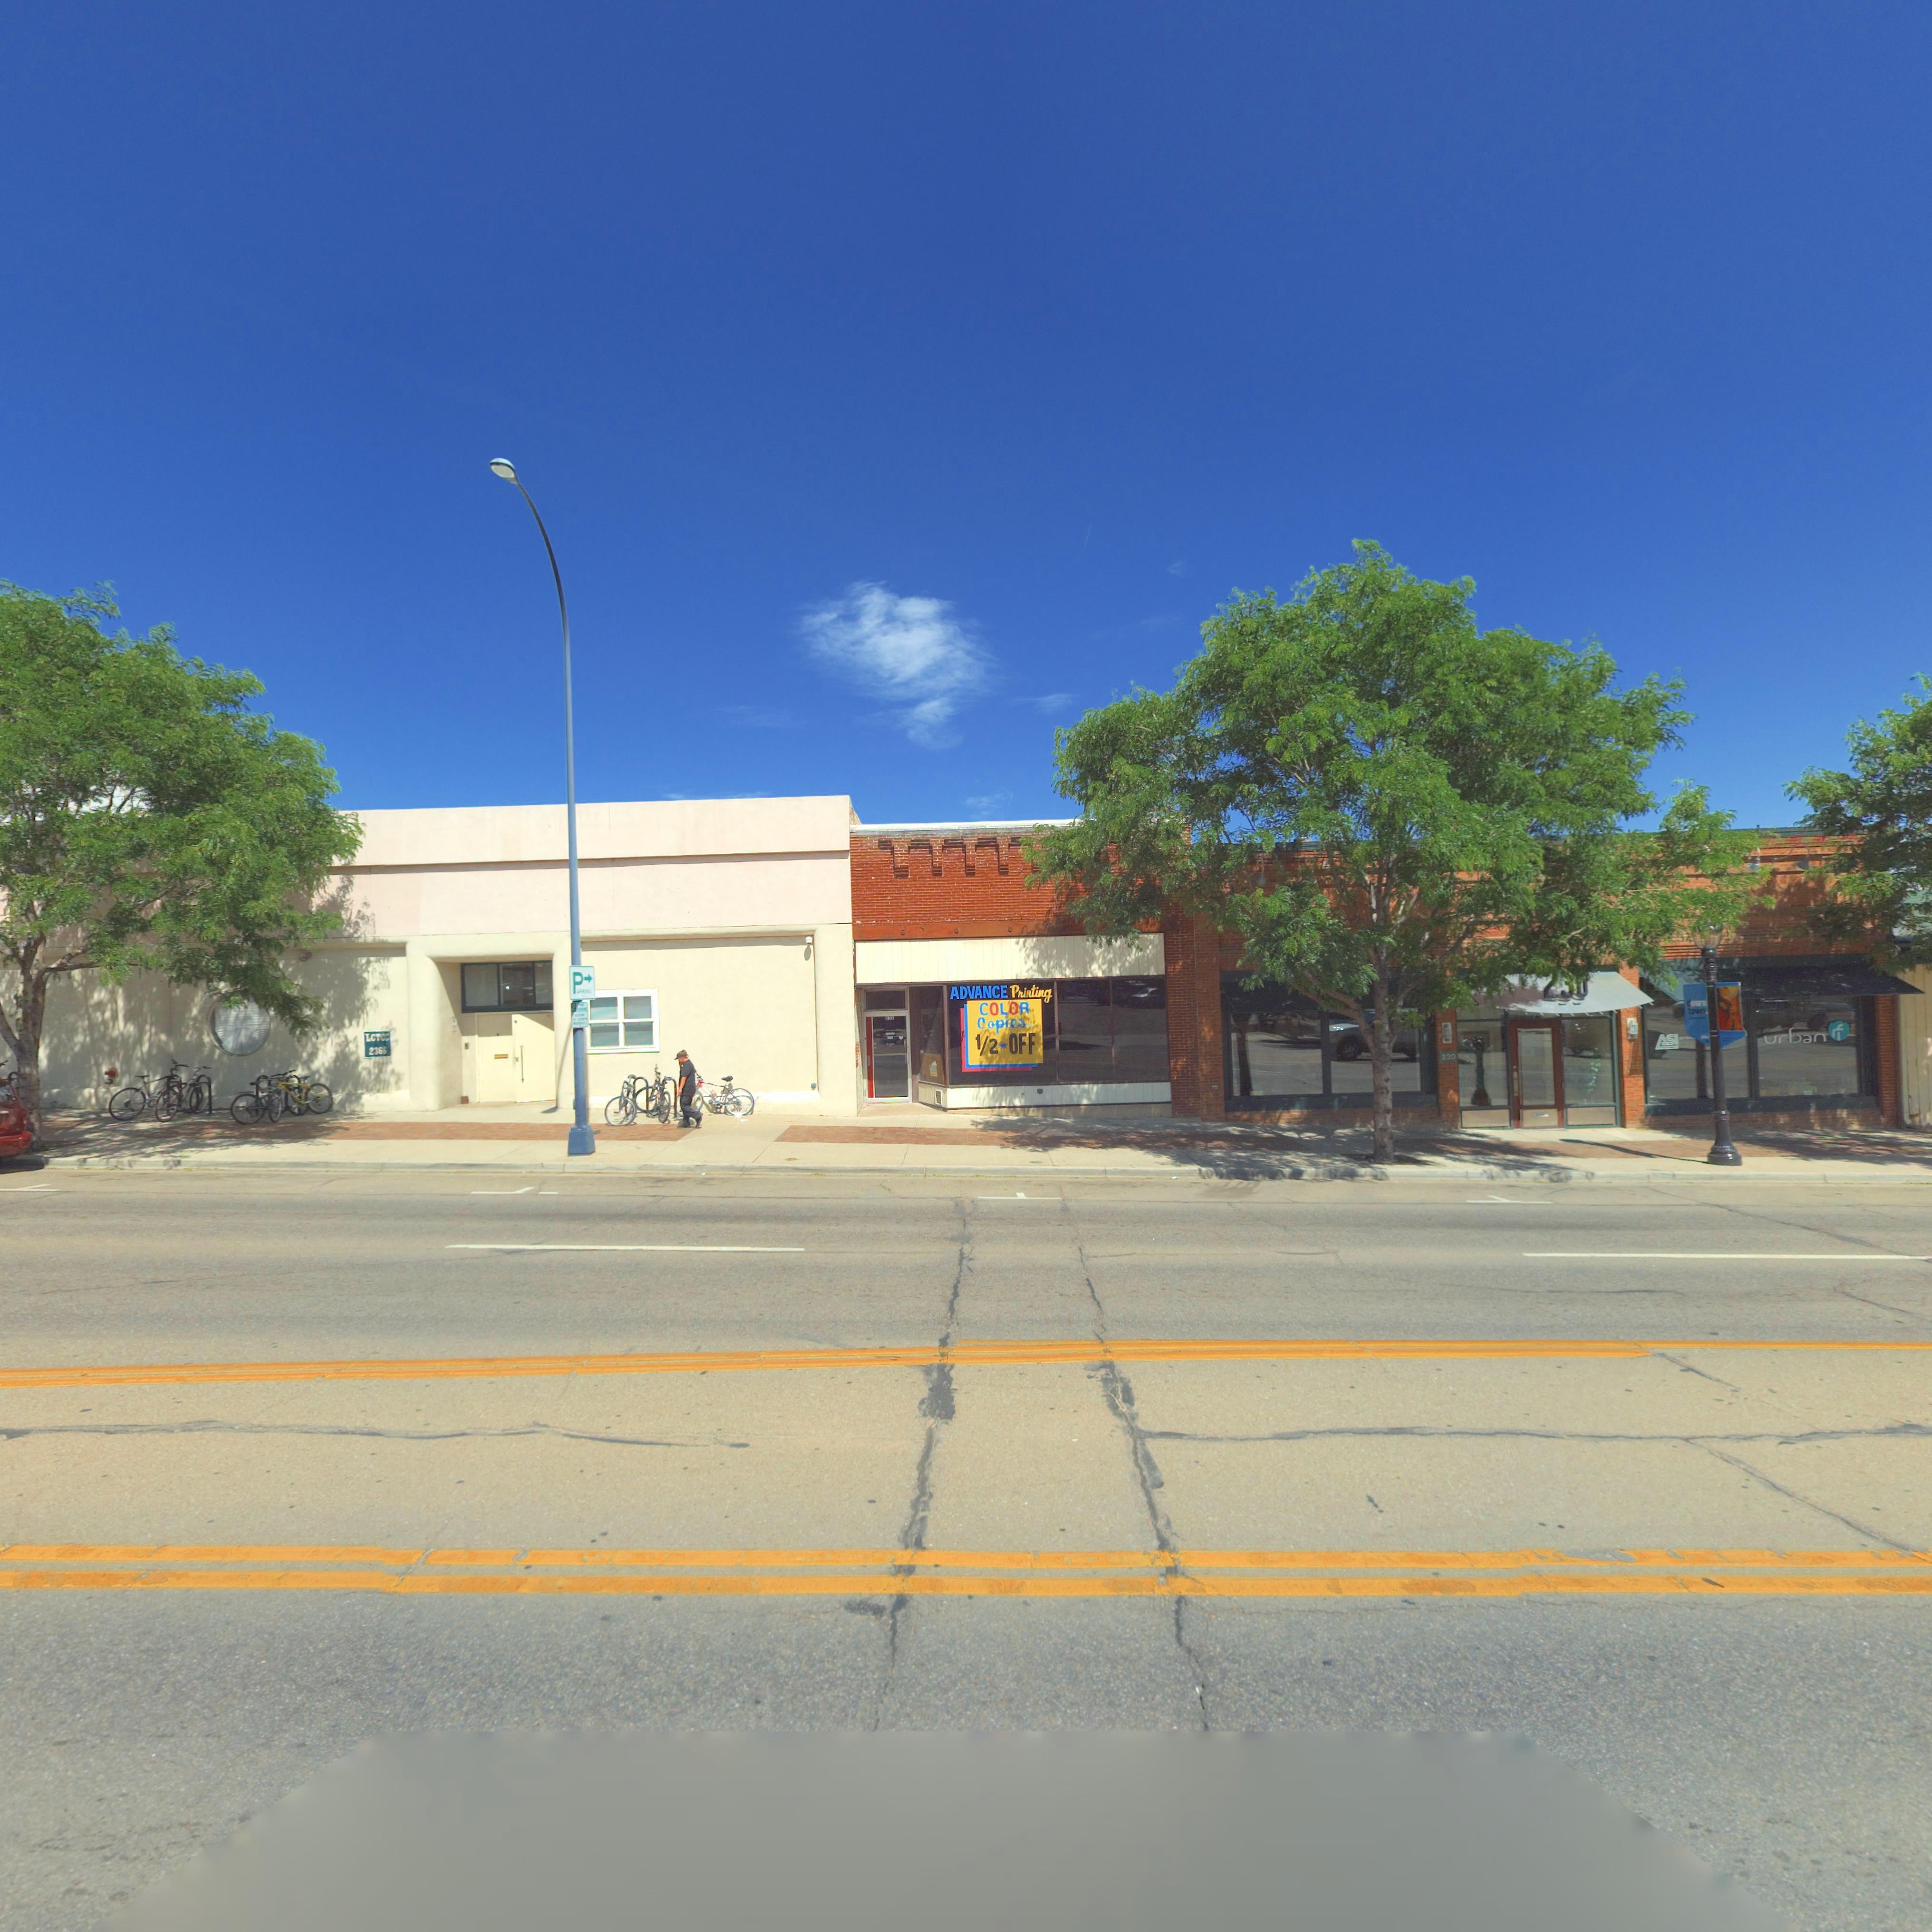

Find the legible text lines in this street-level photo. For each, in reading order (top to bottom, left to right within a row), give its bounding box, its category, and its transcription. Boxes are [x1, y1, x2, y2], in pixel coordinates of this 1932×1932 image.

[949, 984, 1053, 1003] BusinessName: ADVANCE Printing
[885, 1016, 893, 1020] StreetNumber: 232
[368, 1046, 387, 1056] StreetNumber: 236*
[1440, 1053, 1456, 1061] StreetNumber: 230